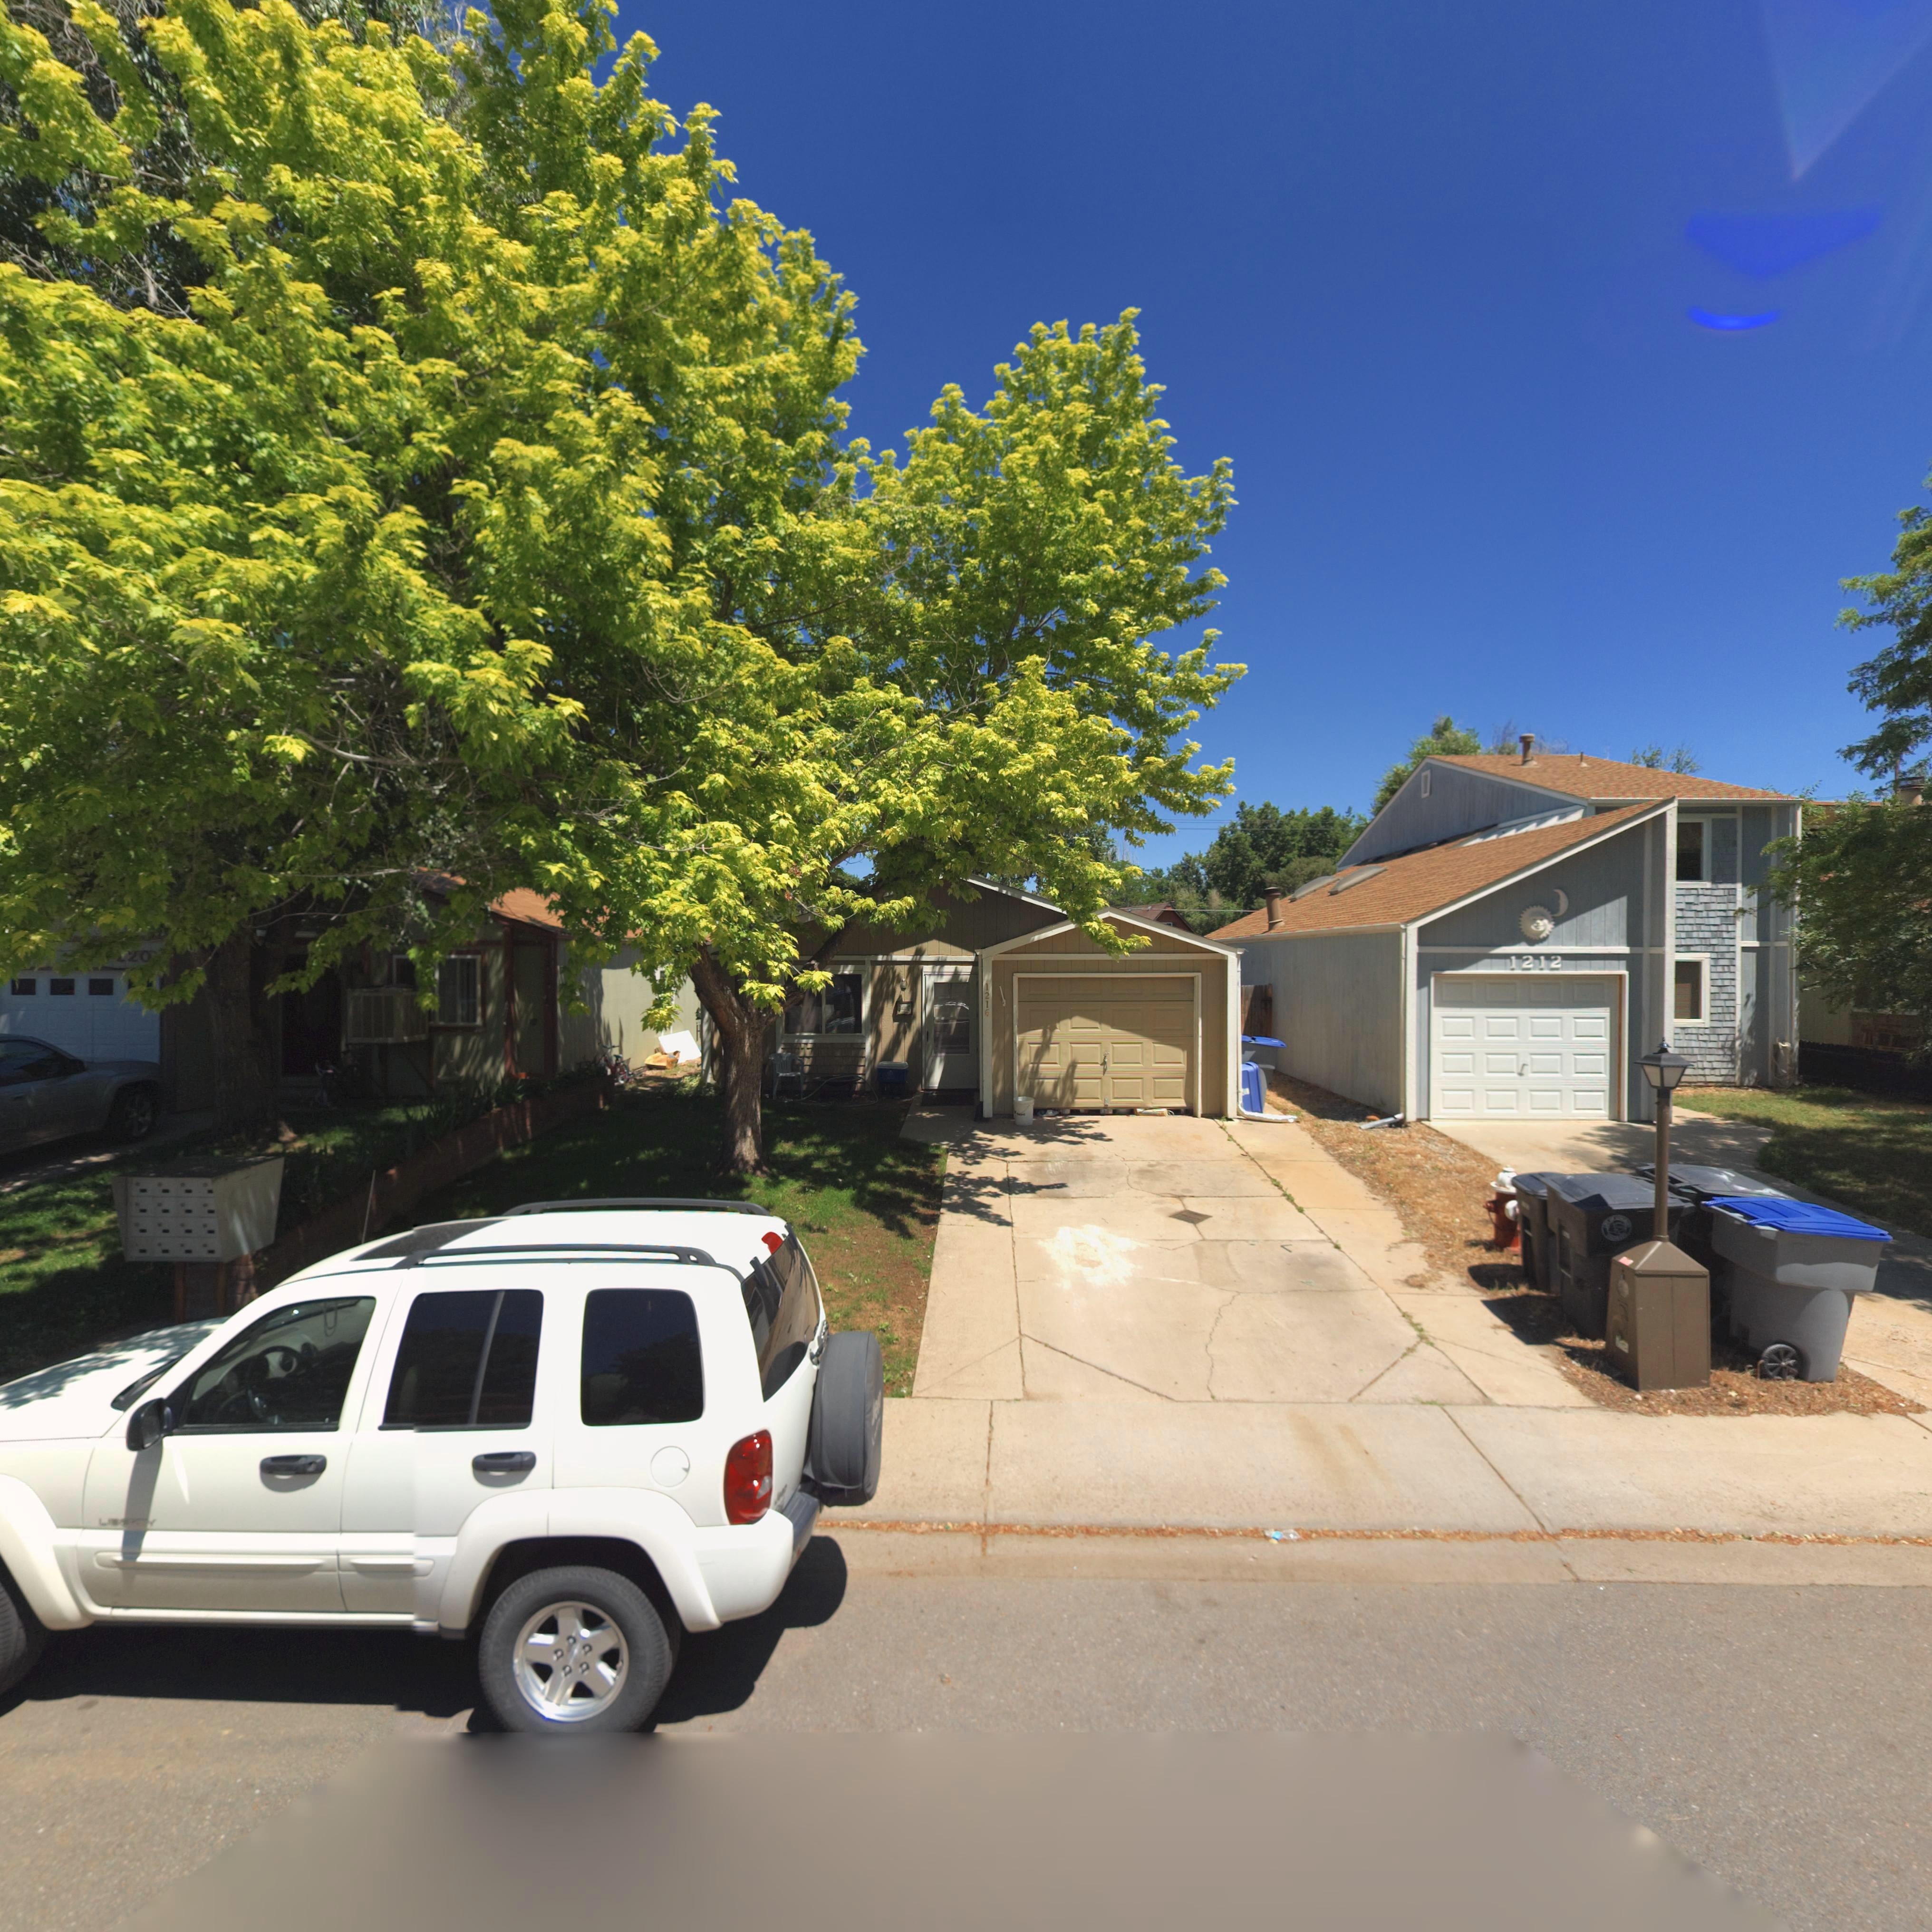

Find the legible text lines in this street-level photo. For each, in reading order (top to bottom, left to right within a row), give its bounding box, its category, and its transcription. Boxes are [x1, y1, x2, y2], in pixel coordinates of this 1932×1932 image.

[126, 949, 152, 963] StreetNumber: 20
[1508, 956, 1562, 968] StreetNumber: 1212
[984, 982, 990, 1017] StreetNumber: 1216